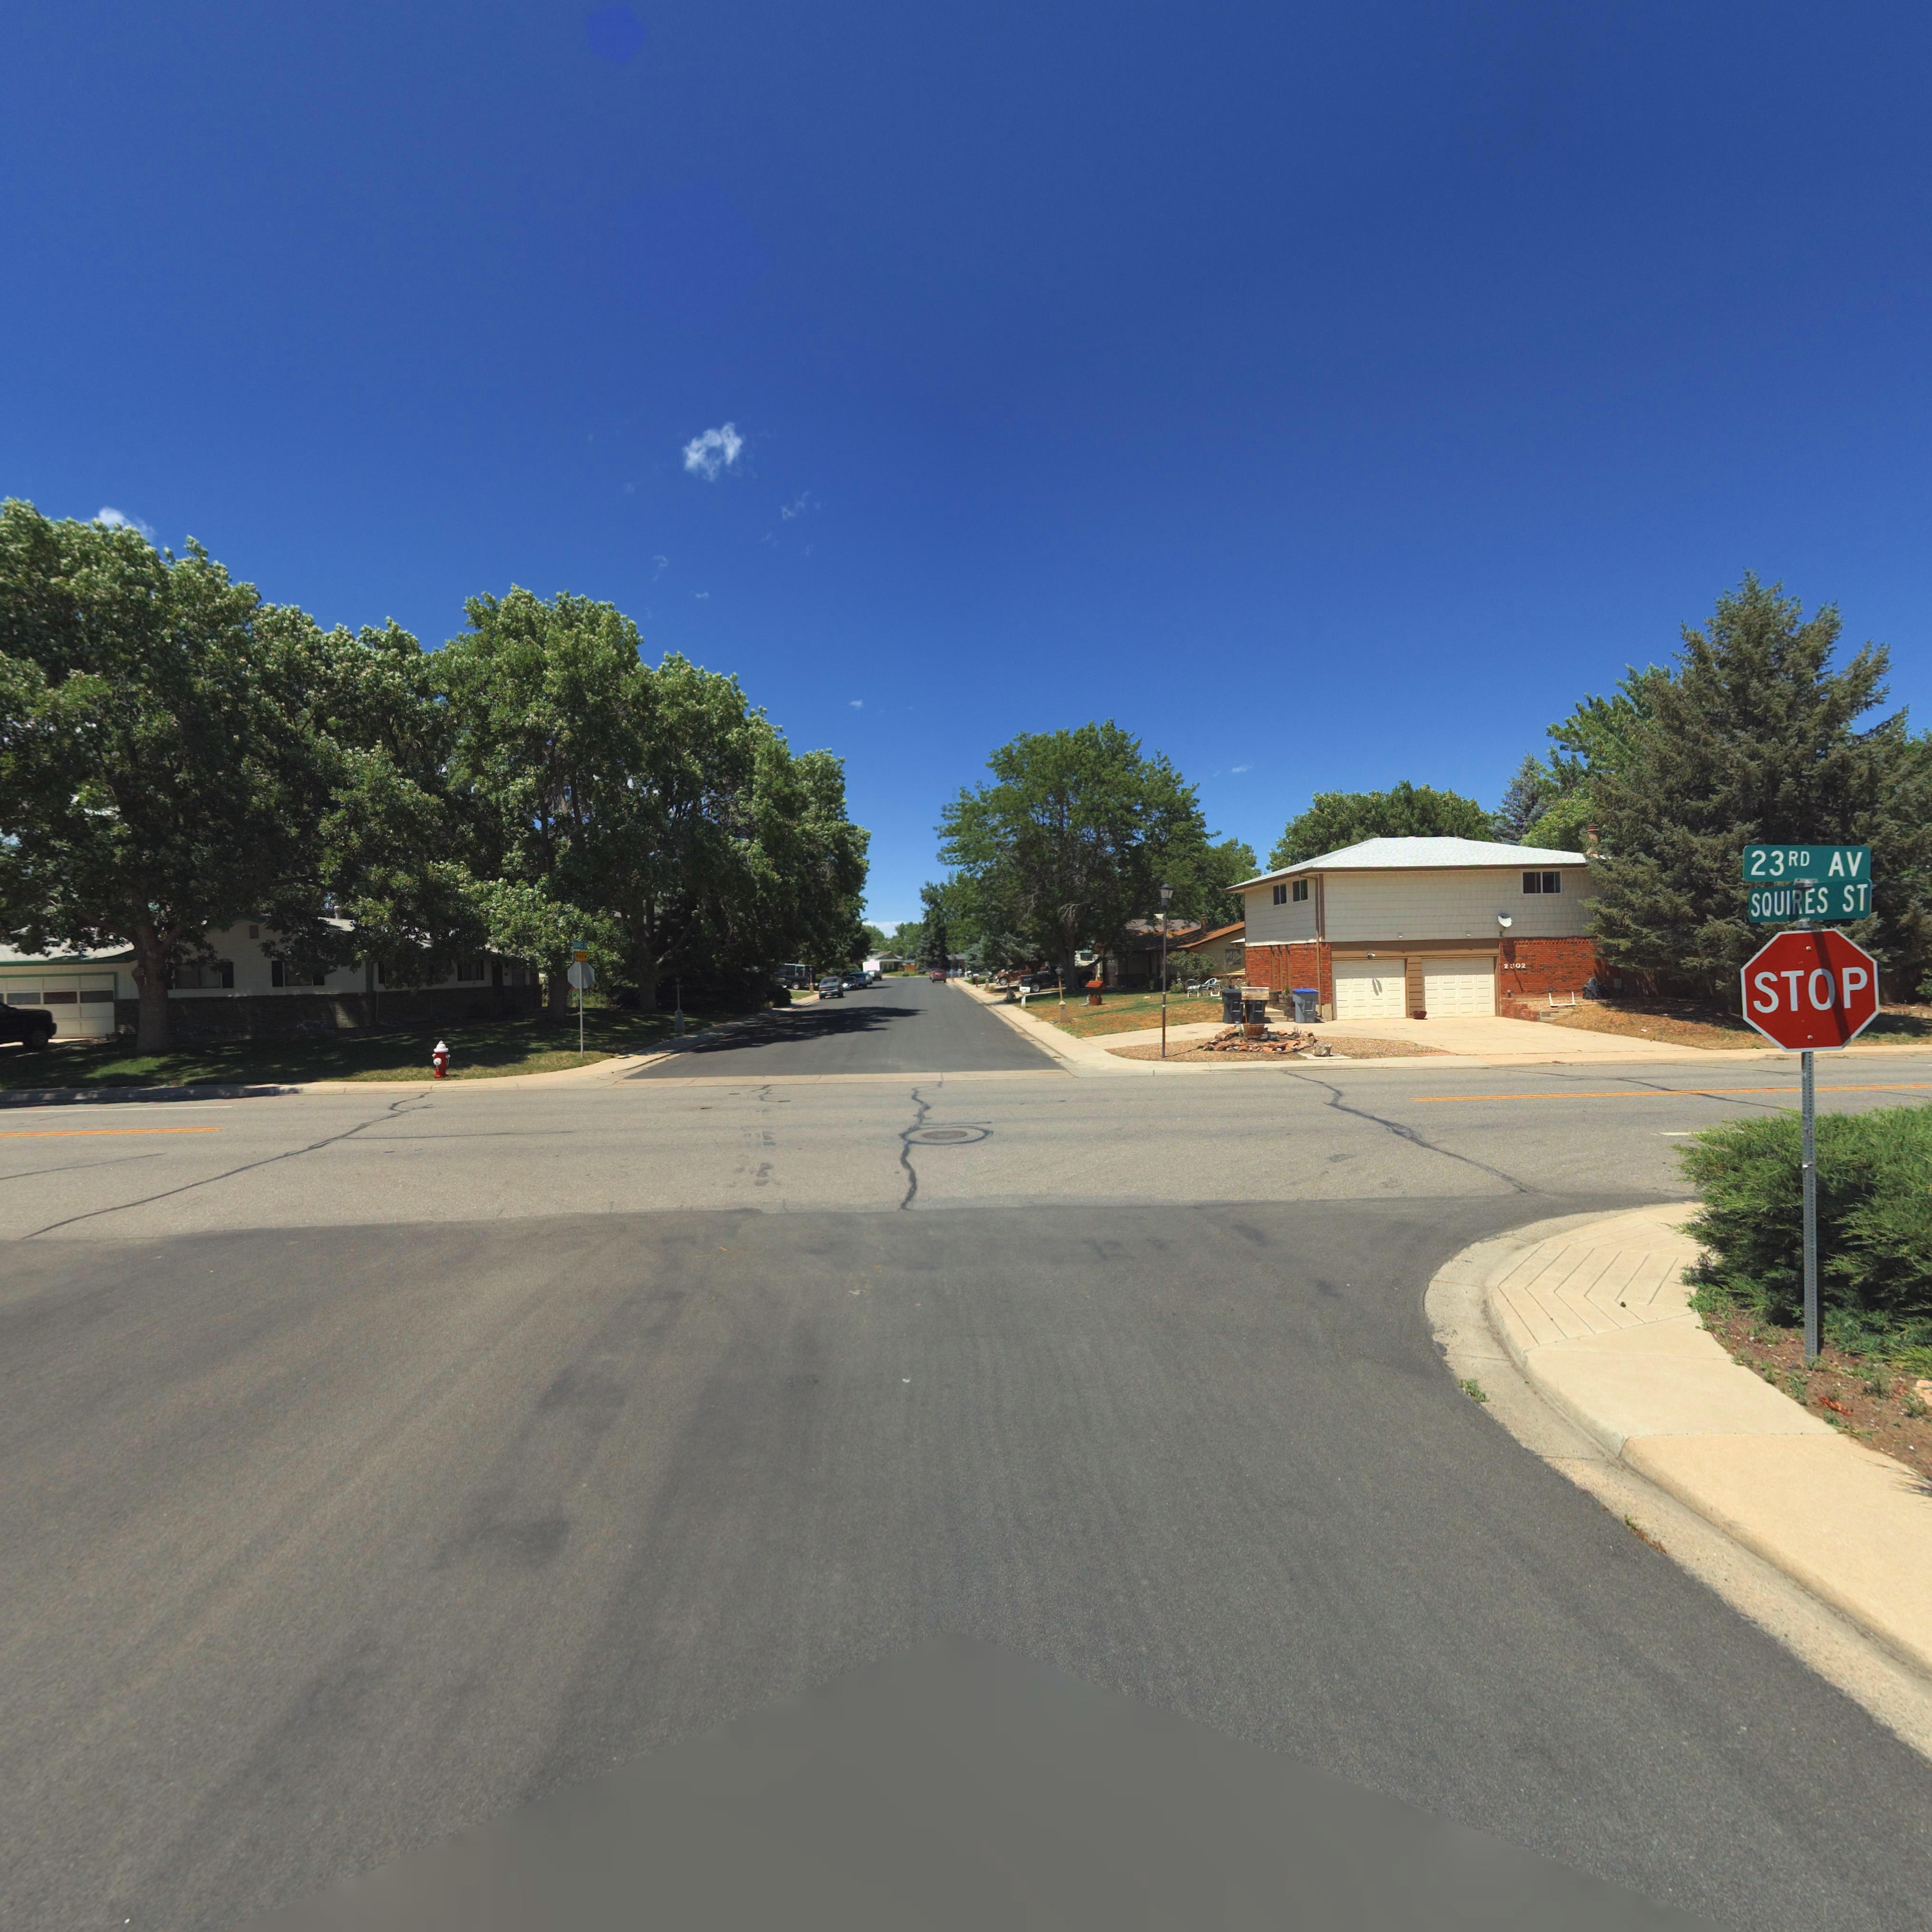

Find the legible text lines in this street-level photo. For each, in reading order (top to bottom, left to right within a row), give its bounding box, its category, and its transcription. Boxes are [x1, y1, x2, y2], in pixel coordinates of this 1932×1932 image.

[1749, 847, 1869, 878] StreetName: 23RD AV
[1749, 884, 1869, 918] StreetName: SQUIRES ST
[1503, 962, 1527, 969] StreetNumber: 2302
[1751, 966, 1868, 1014] None: STOP